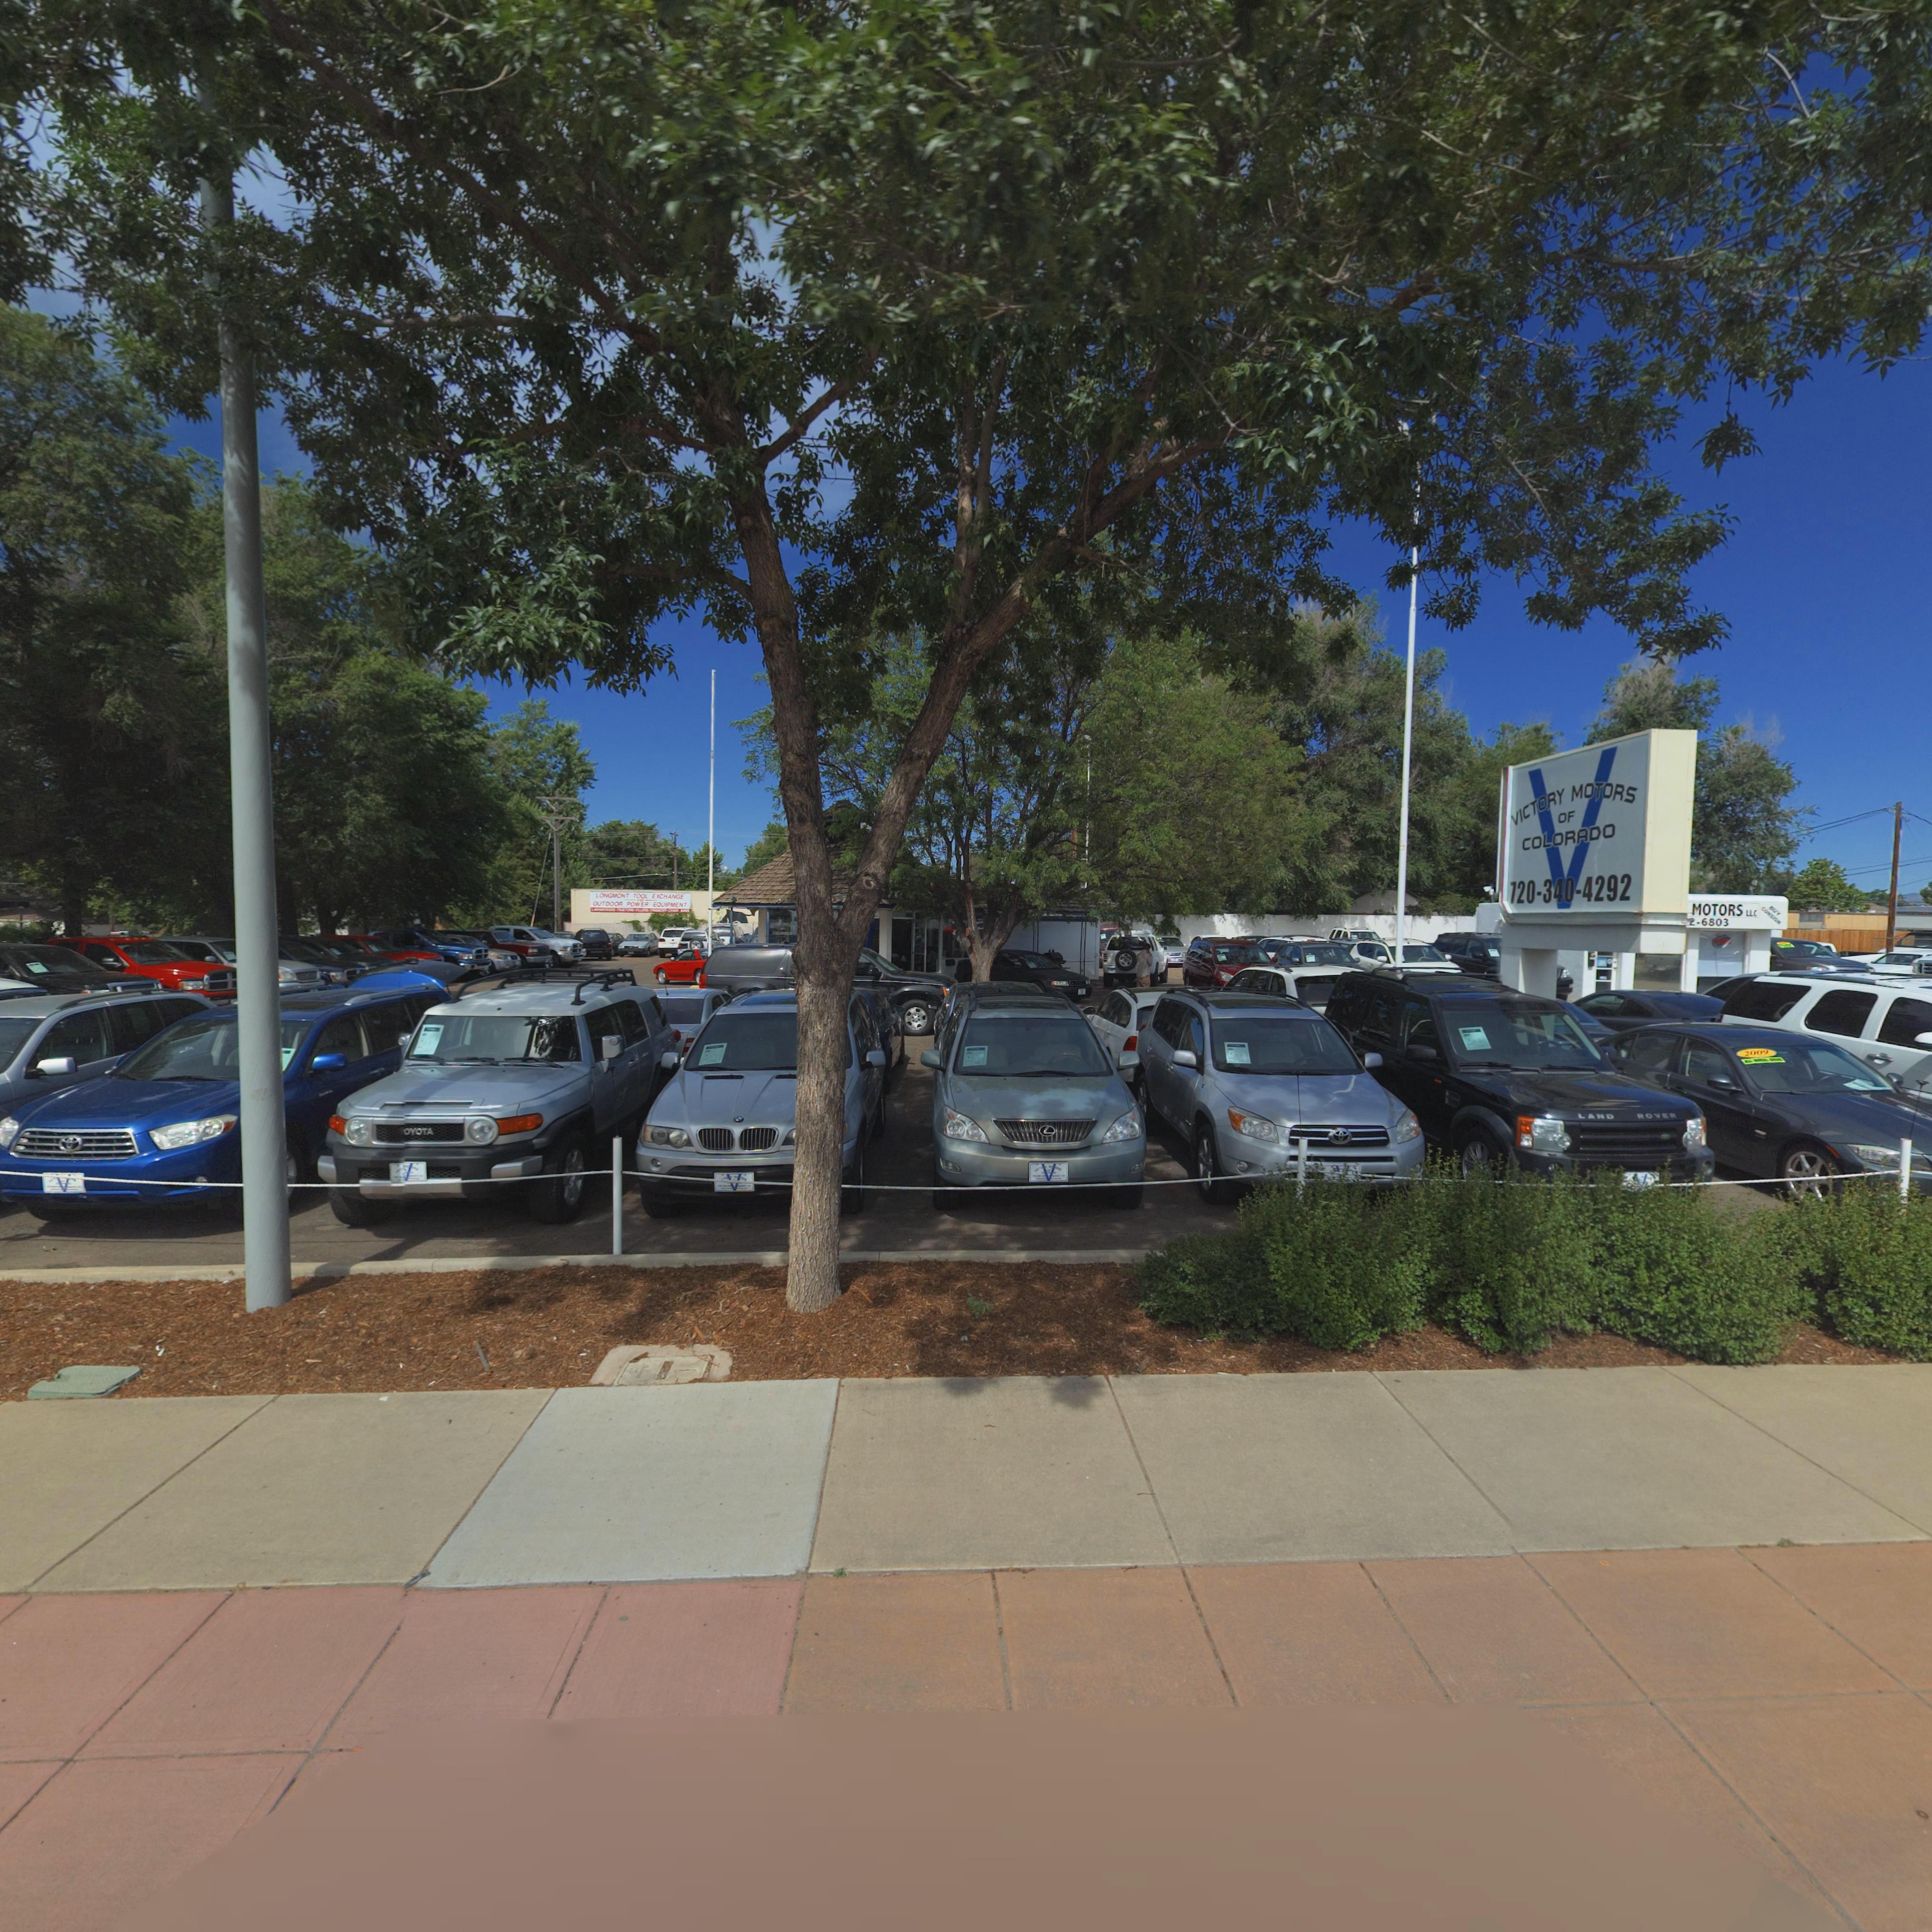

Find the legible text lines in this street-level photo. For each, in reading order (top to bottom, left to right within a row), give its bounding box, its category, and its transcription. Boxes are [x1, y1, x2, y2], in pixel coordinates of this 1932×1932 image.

[1509, 780, 1639, 826] BusinessName: VICTORY MOTORS
[1557, 809, 1576, 824] BusinessName: OF
[1521, 822, 1616, 851] BusinessName: COLORADO
[1692, 903, 1758, 917] StreetNumber: MOTORS LLC
[772, 931, 793, 935] BusinessName: COLORADO